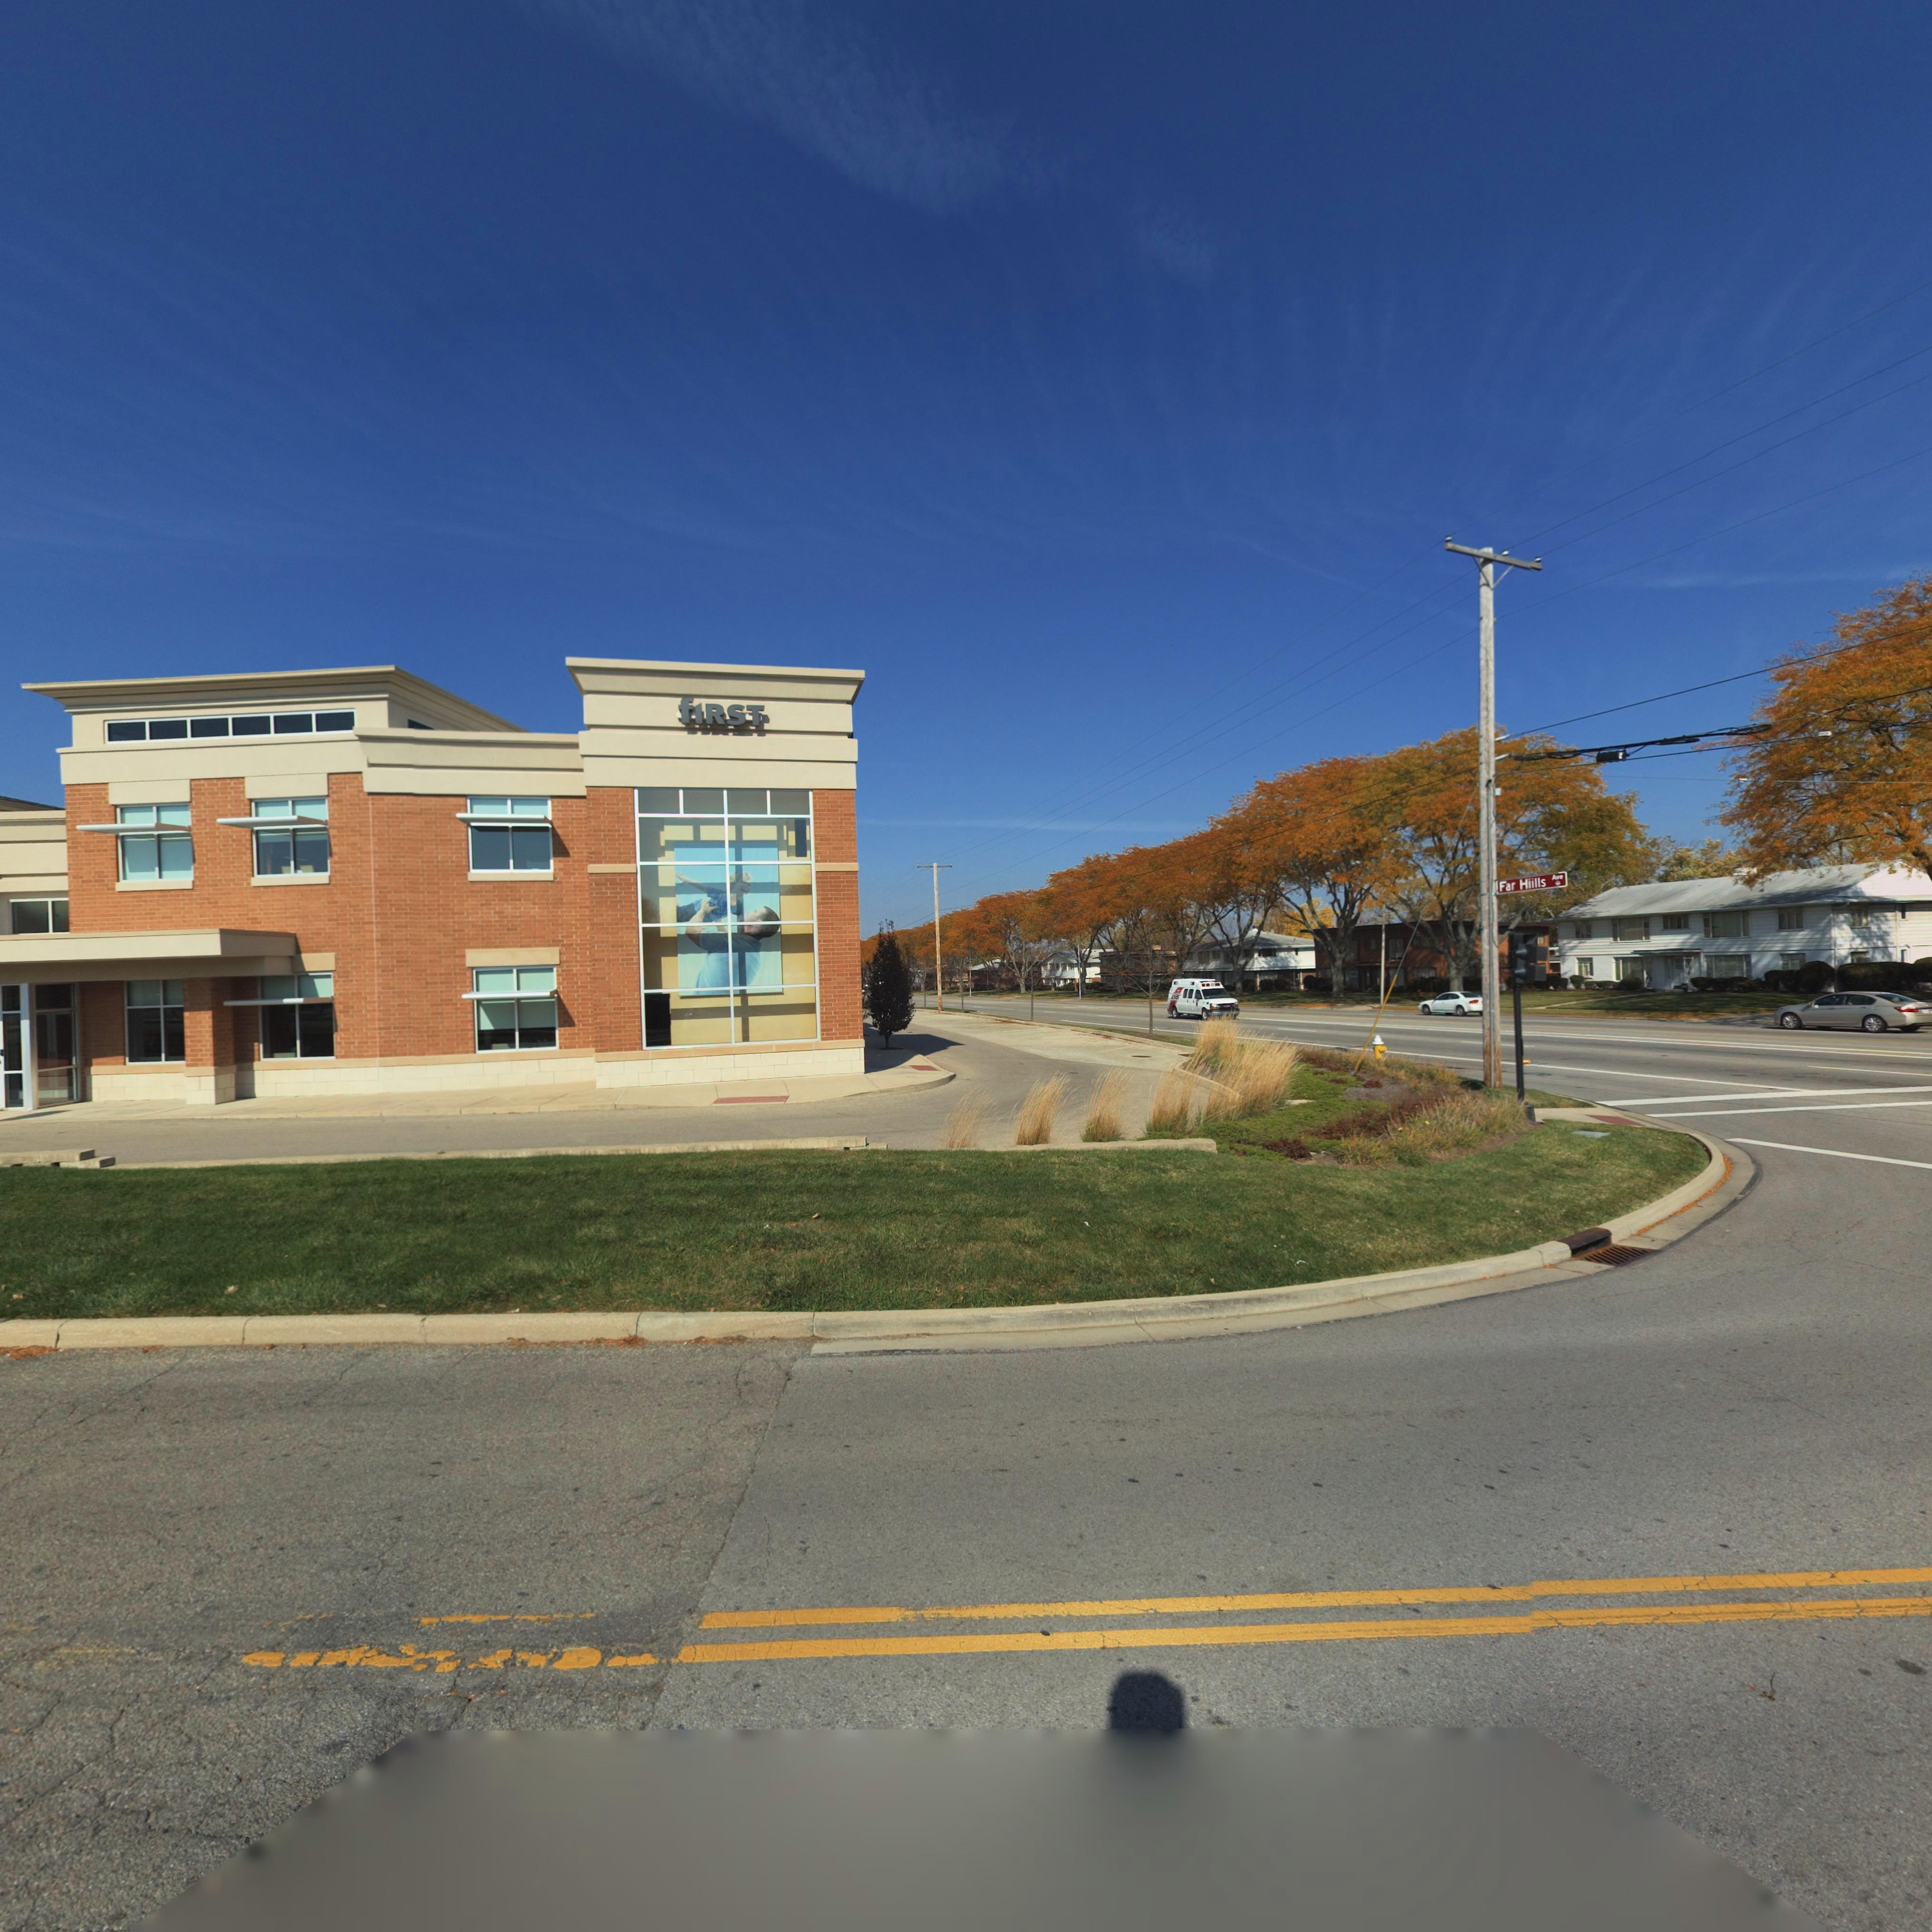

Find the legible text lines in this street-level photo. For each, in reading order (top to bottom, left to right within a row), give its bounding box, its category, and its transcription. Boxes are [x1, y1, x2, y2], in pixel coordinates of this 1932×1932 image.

[677, 696, 765, 726] BusinessName: fIRST
[1498, 873, 1565, 893] StreetName: Far Hills ***